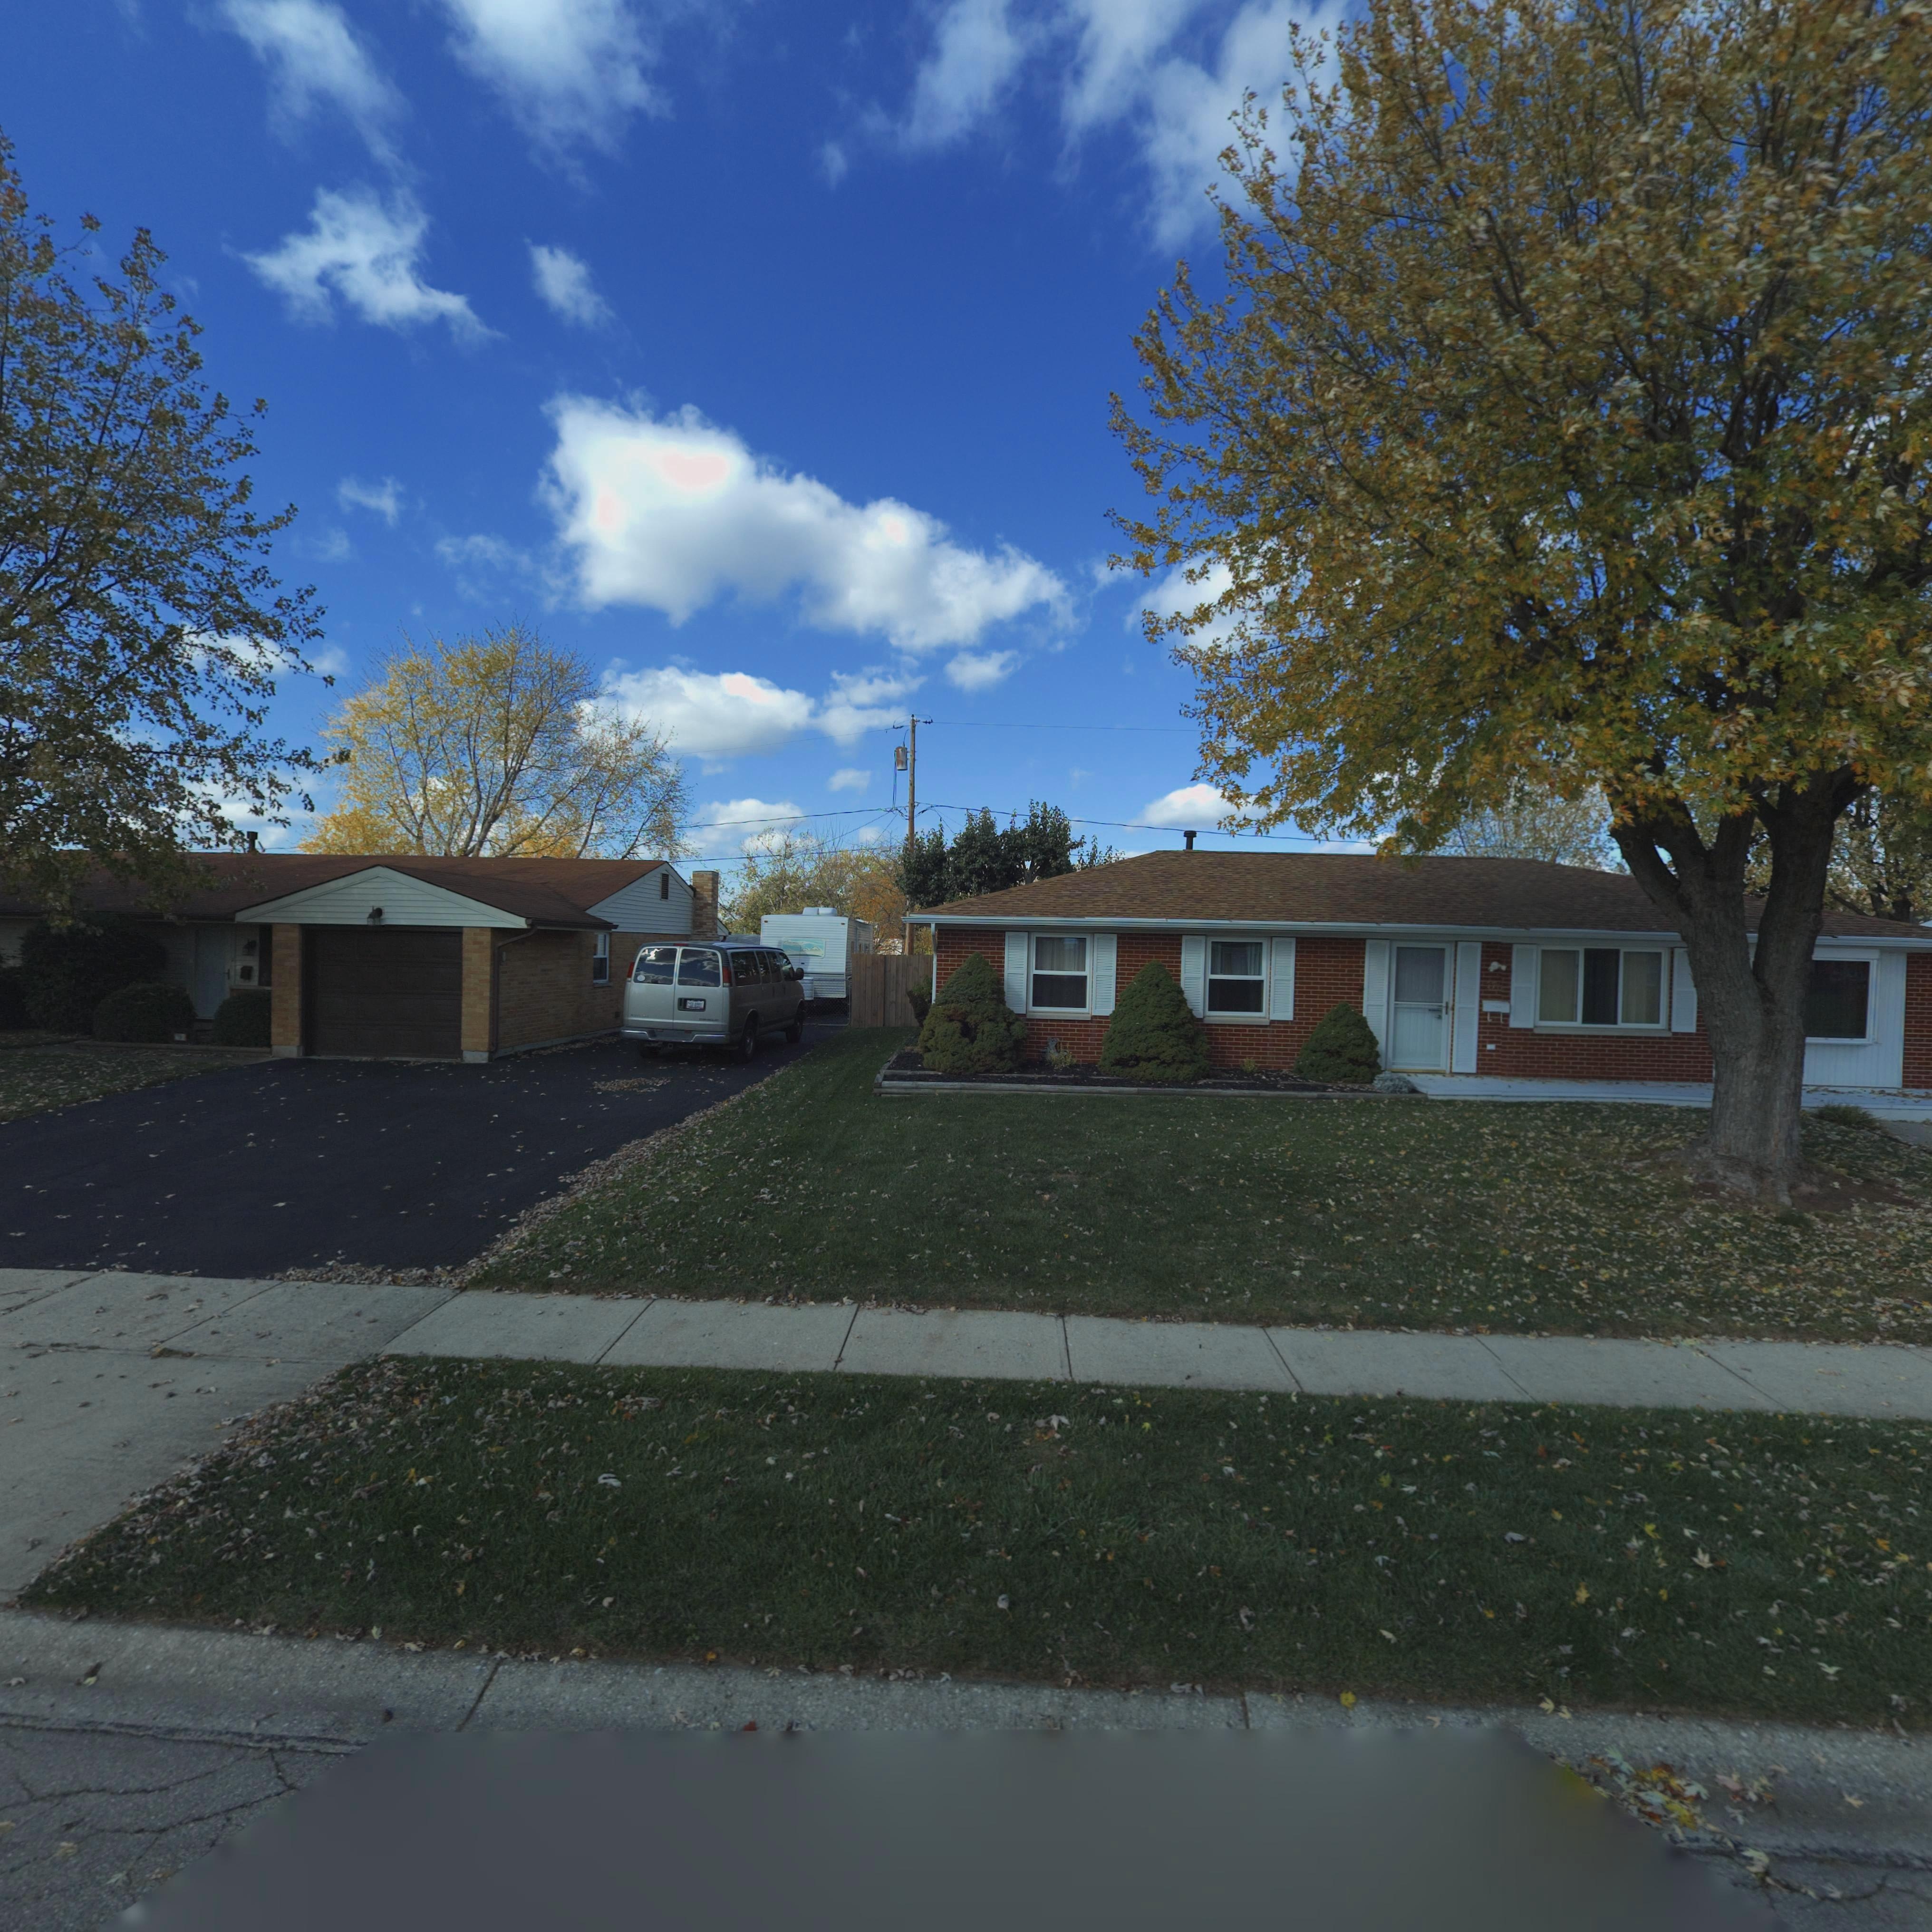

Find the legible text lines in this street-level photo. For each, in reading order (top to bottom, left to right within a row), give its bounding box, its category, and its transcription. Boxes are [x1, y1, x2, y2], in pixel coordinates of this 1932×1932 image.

[1485, 980, 1506, 991] StreetNumber: 771*